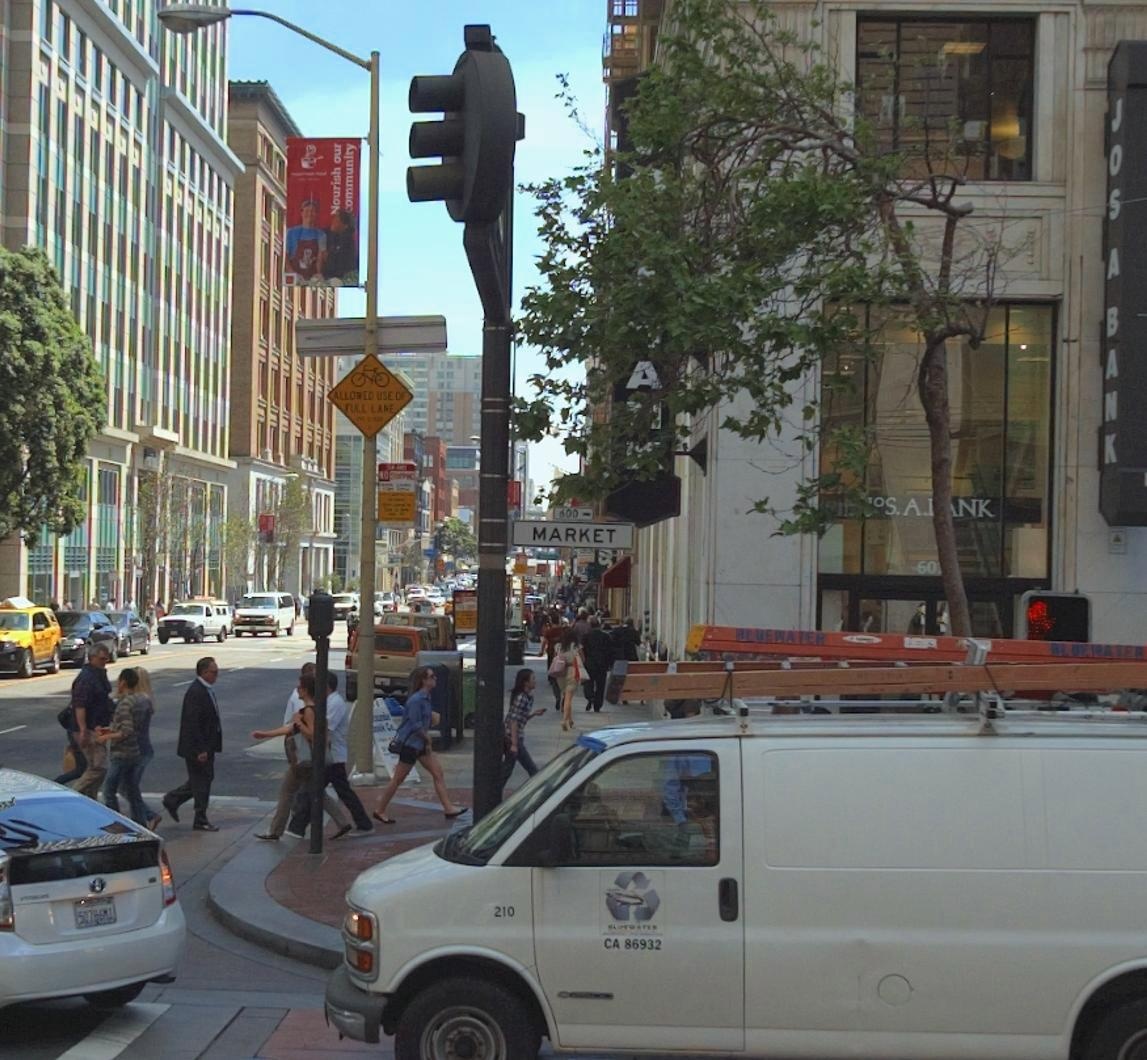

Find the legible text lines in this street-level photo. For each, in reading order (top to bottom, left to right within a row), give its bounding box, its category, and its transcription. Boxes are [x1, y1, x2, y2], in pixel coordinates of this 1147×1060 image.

[329, 140, 344, 216] None: Nourish our
[343, 142, 358, 215] None: community
[333, 389, 408, 402] None: ALLOWED USE OF
[344, 402, 395, 414] None: FULL LANE
[557, 507, 592, 520] StreetNumberRange: 600->
[871, 496, 996, 519] BusinessName: OS.A.**NK
[532, 525, 617, 544] StreetName: MARKET
[916, 558, 937, 576] StreetNumber: 60
[76, 906, 113, 927] None: 507****
[493, 904, 517, 918] None: 210
[601, 935, 663, 952] None: CA 86932